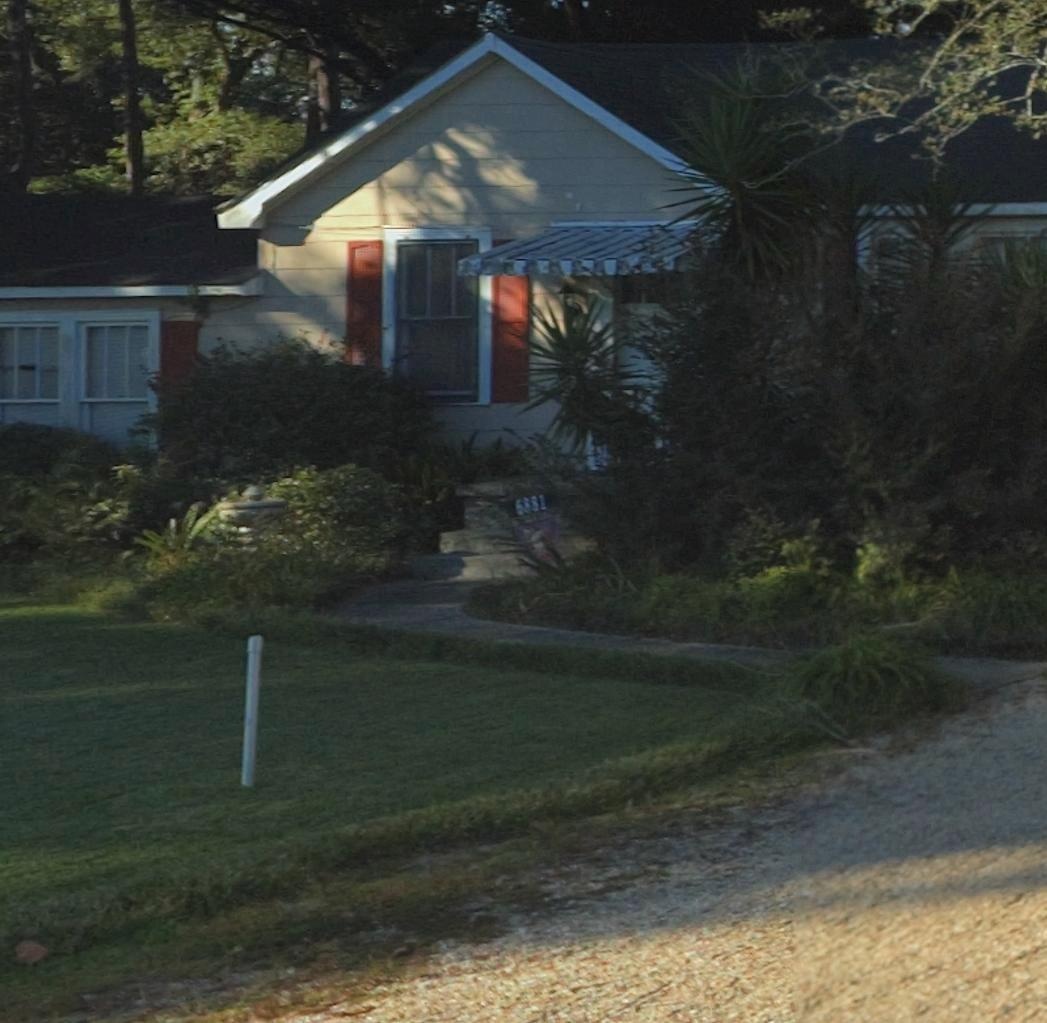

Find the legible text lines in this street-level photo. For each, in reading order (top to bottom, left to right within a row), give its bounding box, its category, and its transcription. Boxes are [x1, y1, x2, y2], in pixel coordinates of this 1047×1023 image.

[514, 493, 548, 517] StreetNumber: 6881